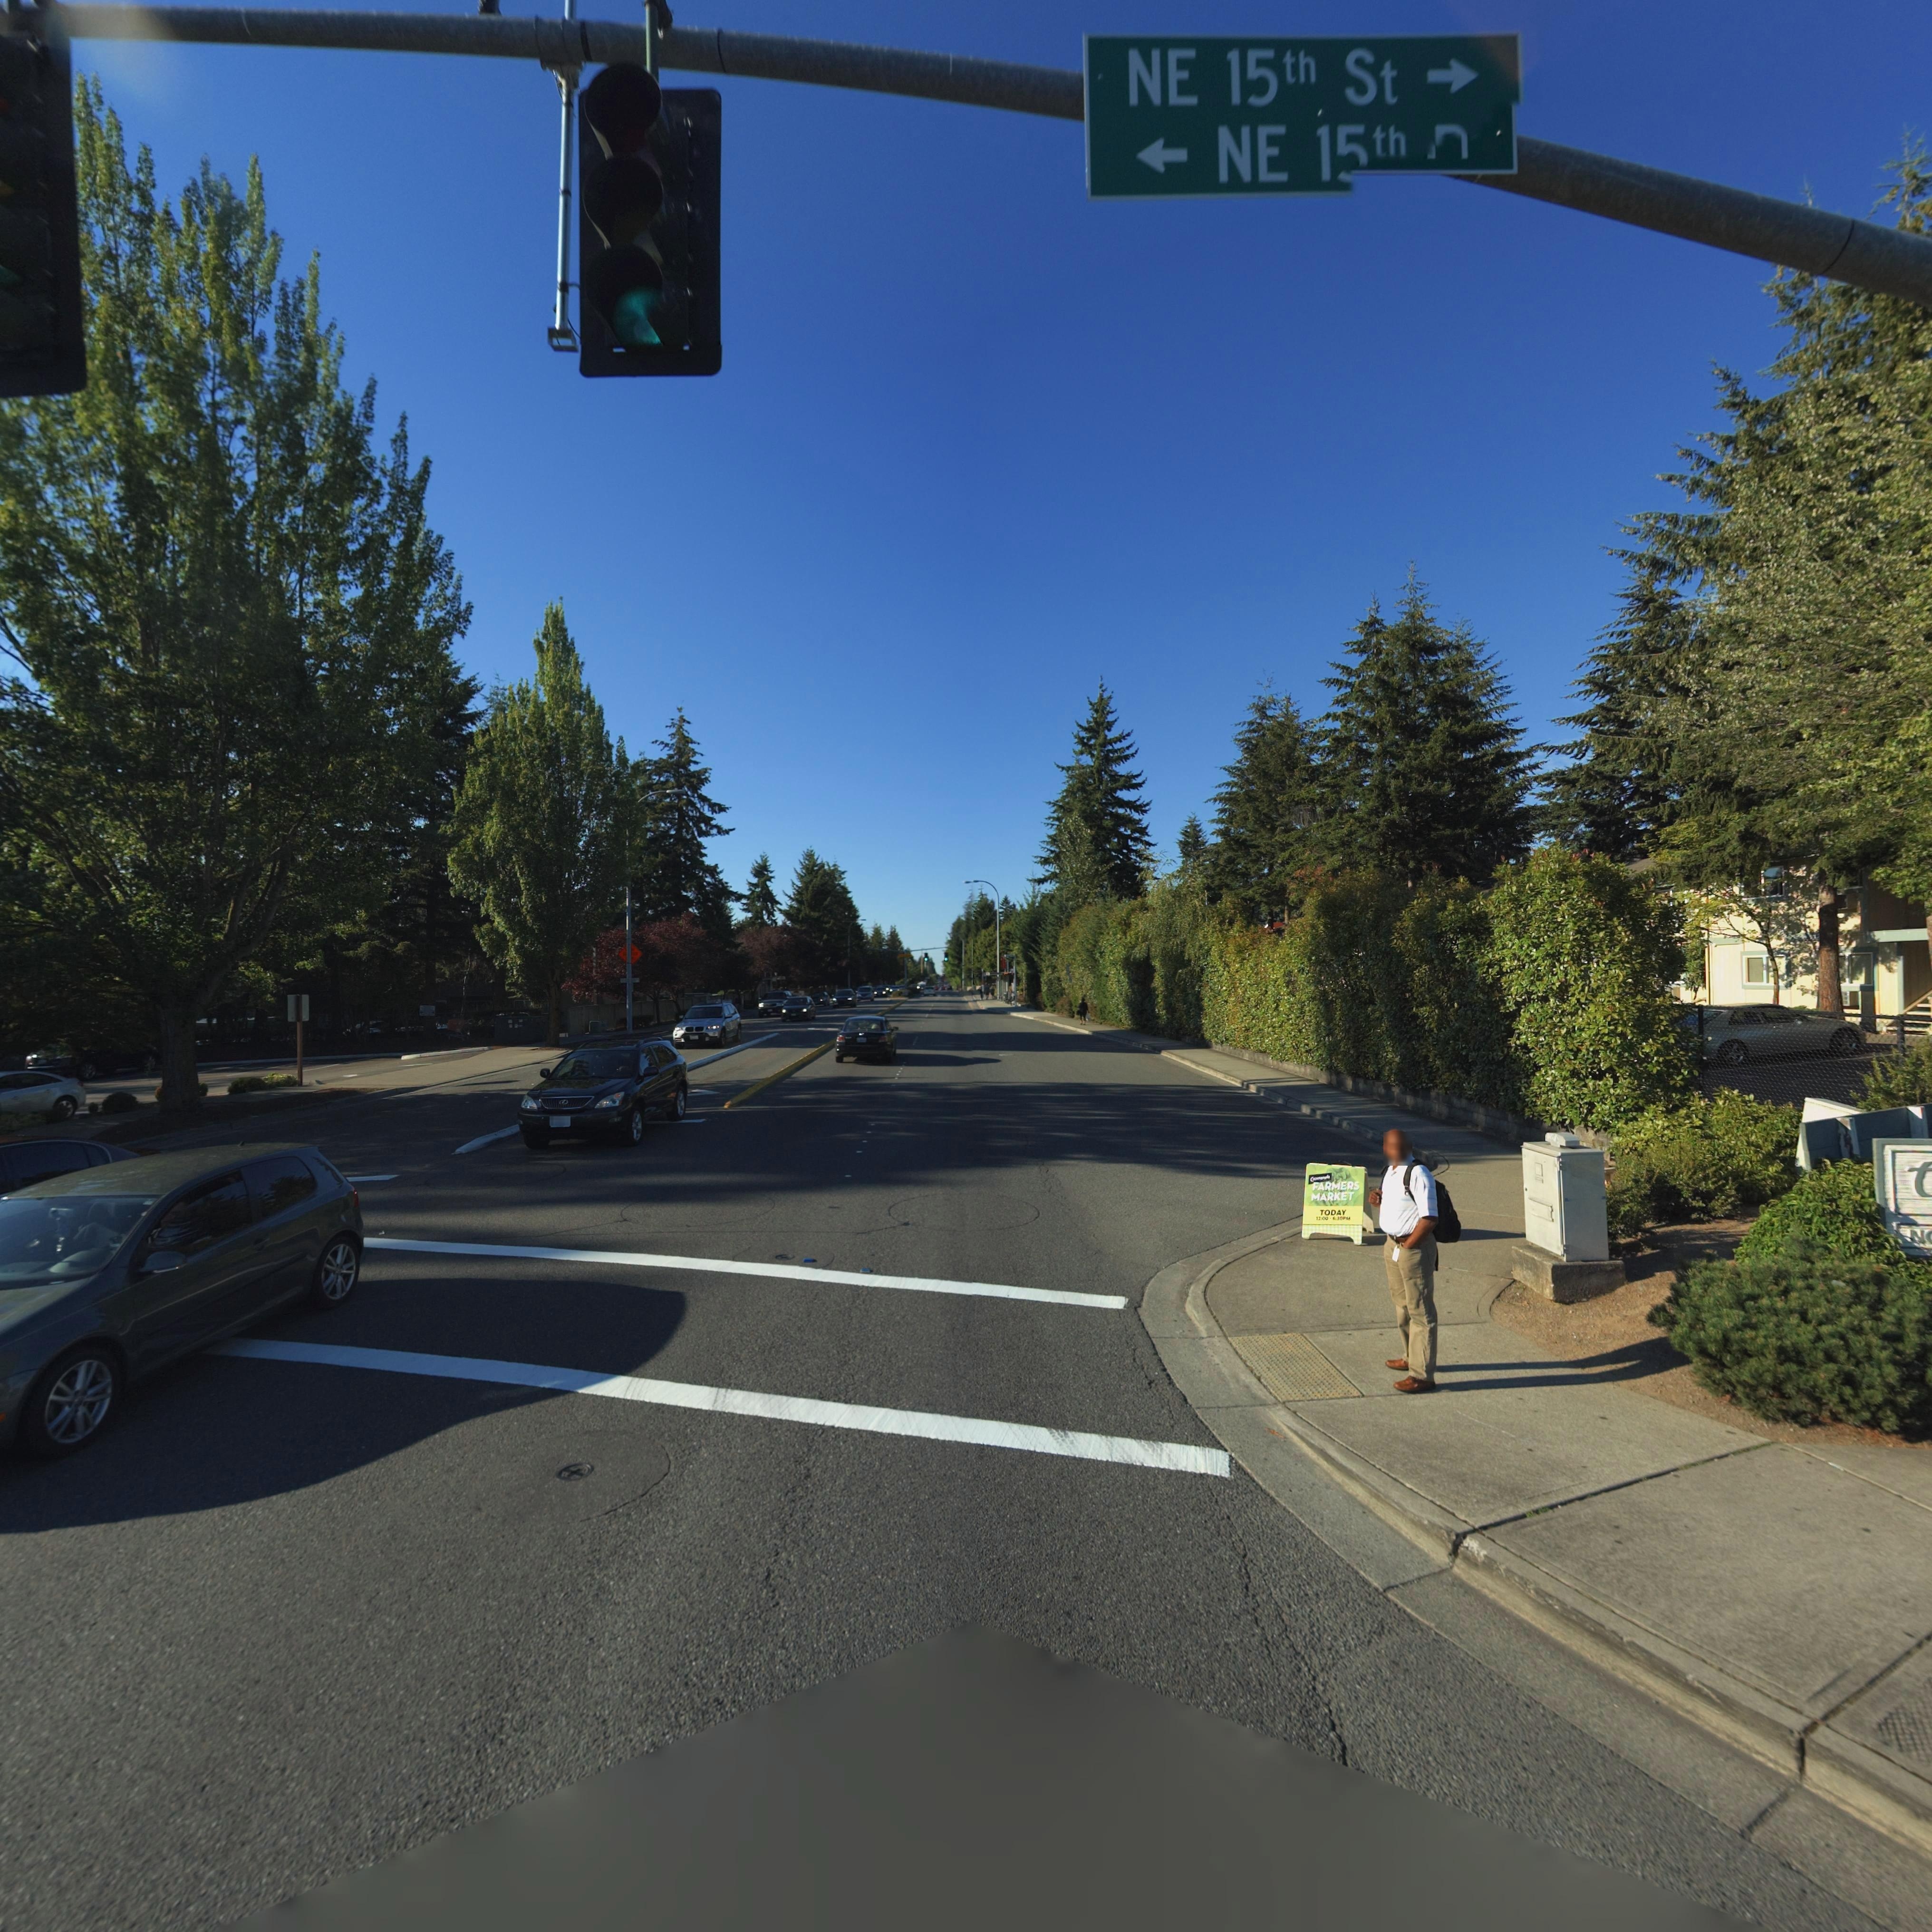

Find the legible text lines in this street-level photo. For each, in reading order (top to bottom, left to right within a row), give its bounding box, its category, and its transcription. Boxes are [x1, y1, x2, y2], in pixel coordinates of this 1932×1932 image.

[1127, 46, 1401, 107] StreetName: NE 15th St
[1212, 121, 1408, 189] StreetName: NE 1***